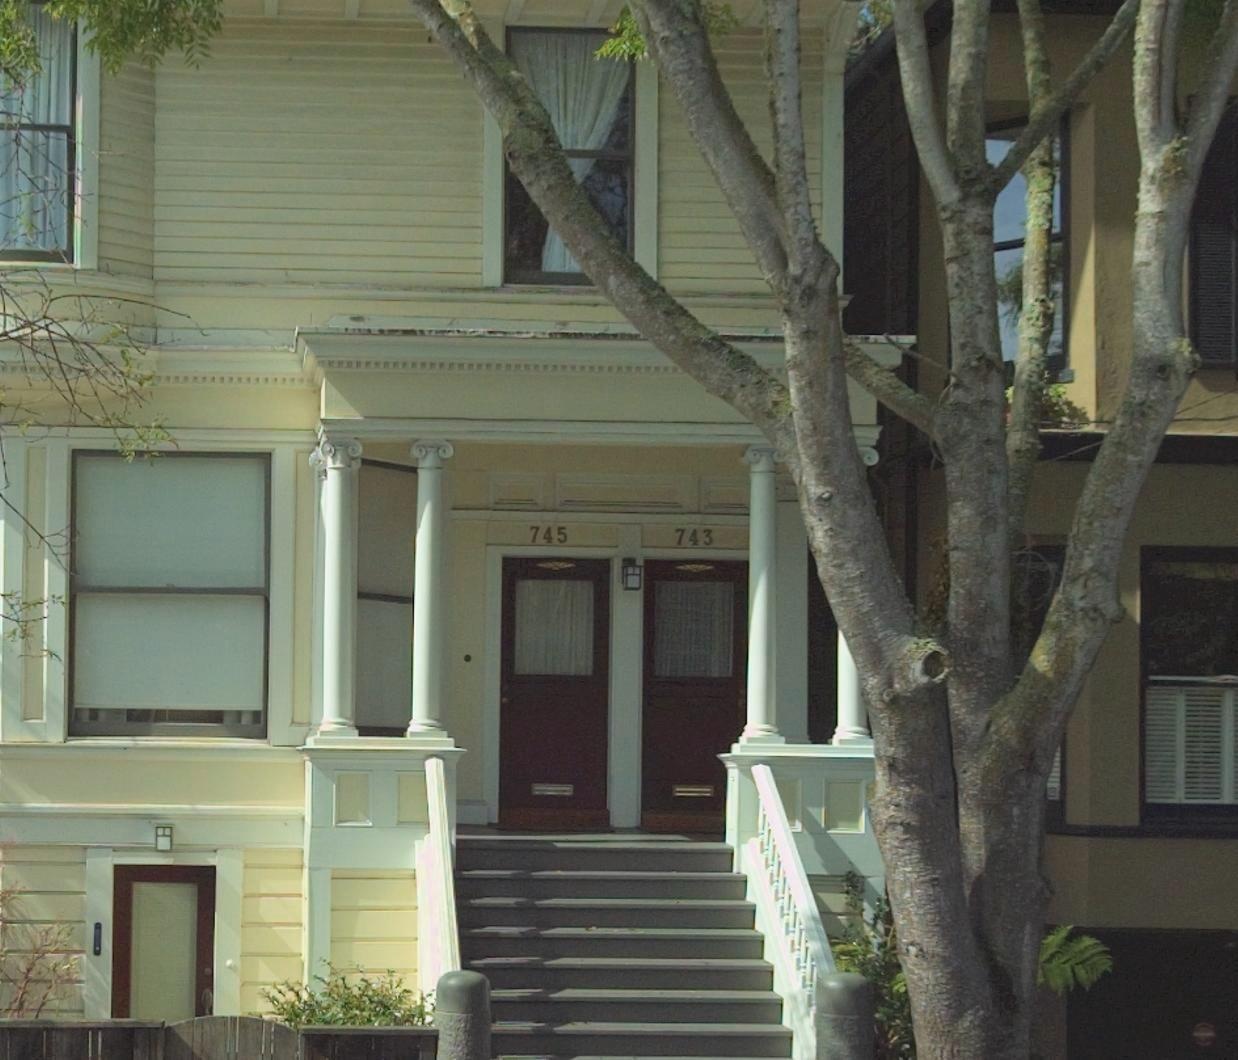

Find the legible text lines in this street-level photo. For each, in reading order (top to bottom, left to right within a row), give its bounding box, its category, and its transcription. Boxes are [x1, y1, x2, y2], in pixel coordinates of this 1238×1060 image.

[528, 524, 569, 545] StreetNumber: 745
[674, 527, 715, 548] StreetNumber: 743